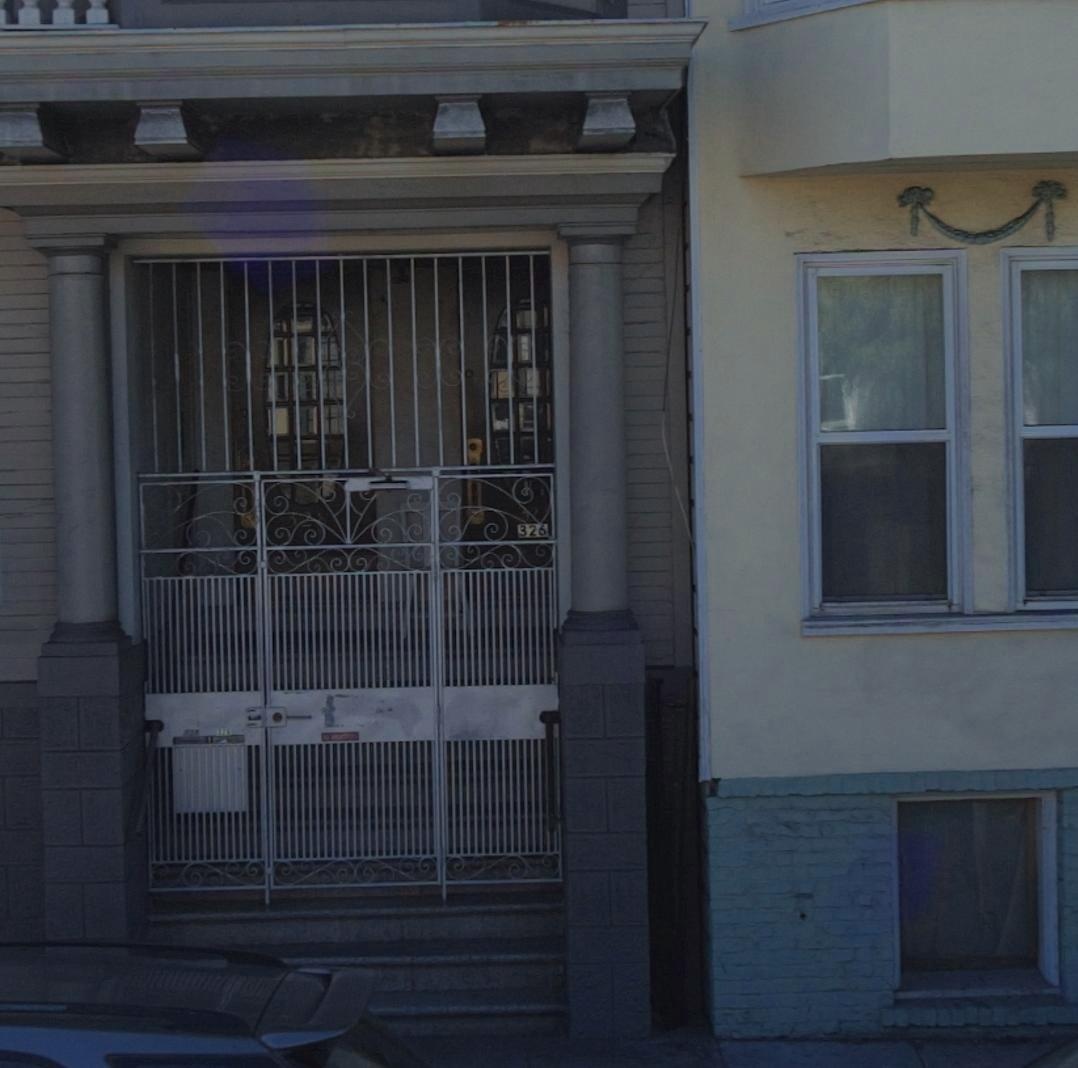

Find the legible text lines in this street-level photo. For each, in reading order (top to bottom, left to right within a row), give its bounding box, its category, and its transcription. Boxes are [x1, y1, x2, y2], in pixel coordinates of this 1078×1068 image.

[516, 523, 549, 538] StreetNumber: 326